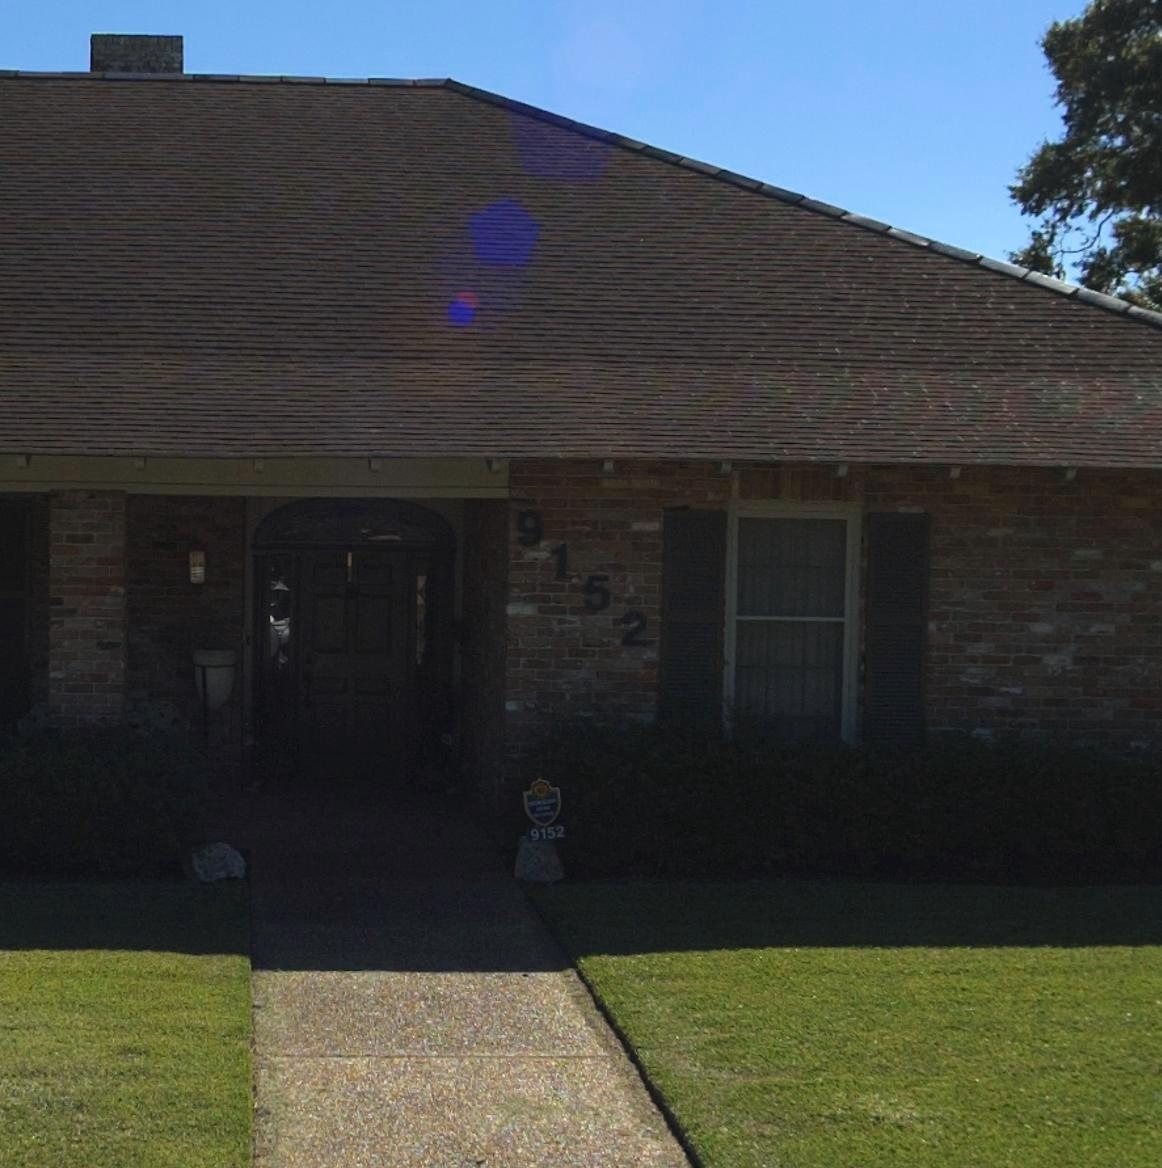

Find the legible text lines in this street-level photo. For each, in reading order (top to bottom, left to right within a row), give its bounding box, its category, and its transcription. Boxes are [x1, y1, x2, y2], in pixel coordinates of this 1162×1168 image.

[514, 503, 661, 651] StreetNumber: 9152
[526, 823, 567, 842] StreetNumber: 9152